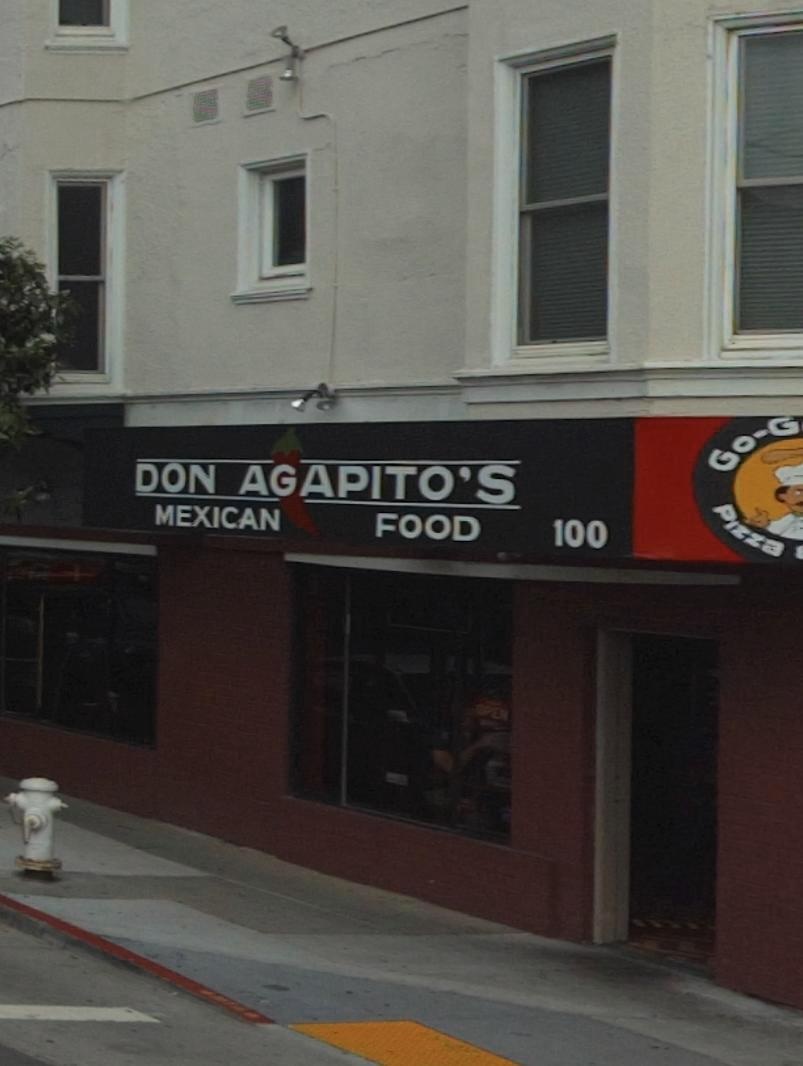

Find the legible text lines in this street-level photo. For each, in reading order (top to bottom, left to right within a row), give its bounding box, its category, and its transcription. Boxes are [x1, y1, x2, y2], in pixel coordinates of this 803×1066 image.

[706, 415, 801, 475] BusinessName: Go-G
[133, 461, 519, 507] BusinessName: DON AGAPITO'S
[153, 502, 282, 533] None: MEXICAN
[373, 511, 483, 544] None: FOOD
[550, 517, 612, 551] StreetNumber: 100
[710, 502, 786, 559] None: Pizza
[473, 702, 510, 723] None: OPEN